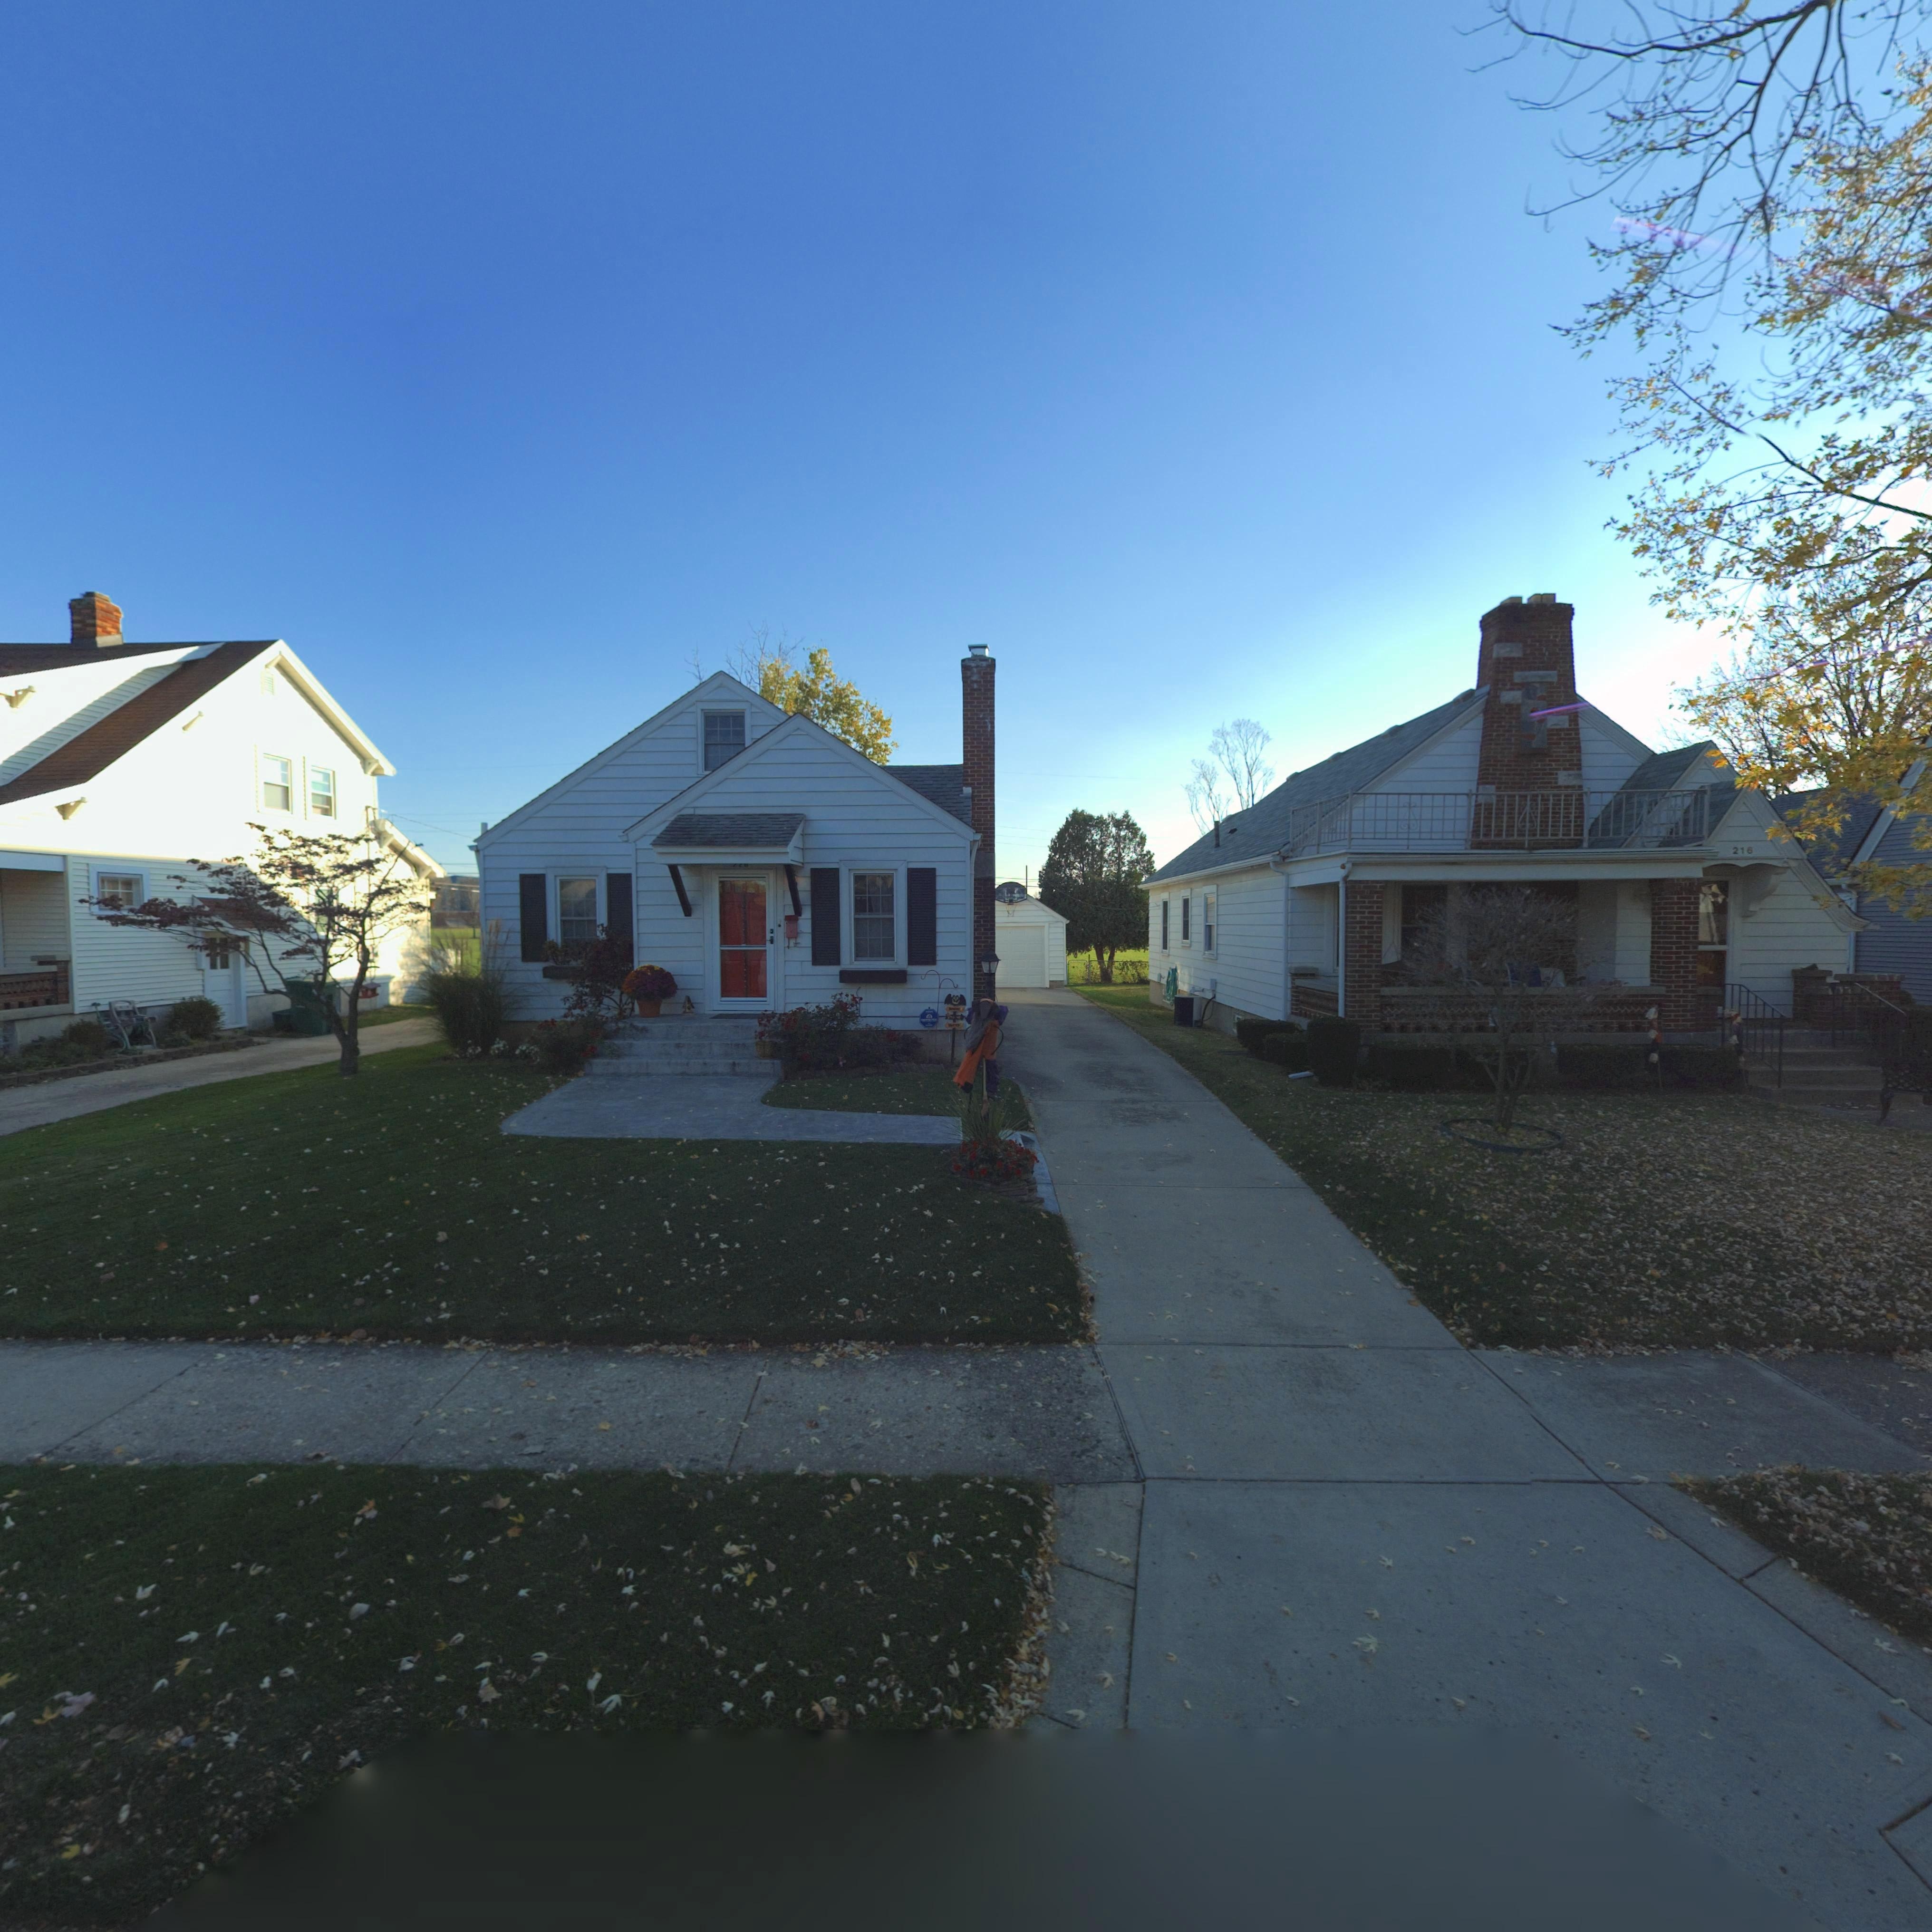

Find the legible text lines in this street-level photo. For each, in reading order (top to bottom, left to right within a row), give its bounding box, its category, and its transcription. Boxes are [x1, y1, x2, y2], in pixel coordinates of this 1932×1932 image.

[1732, 846, 1754, 855] StreetNumber: 216